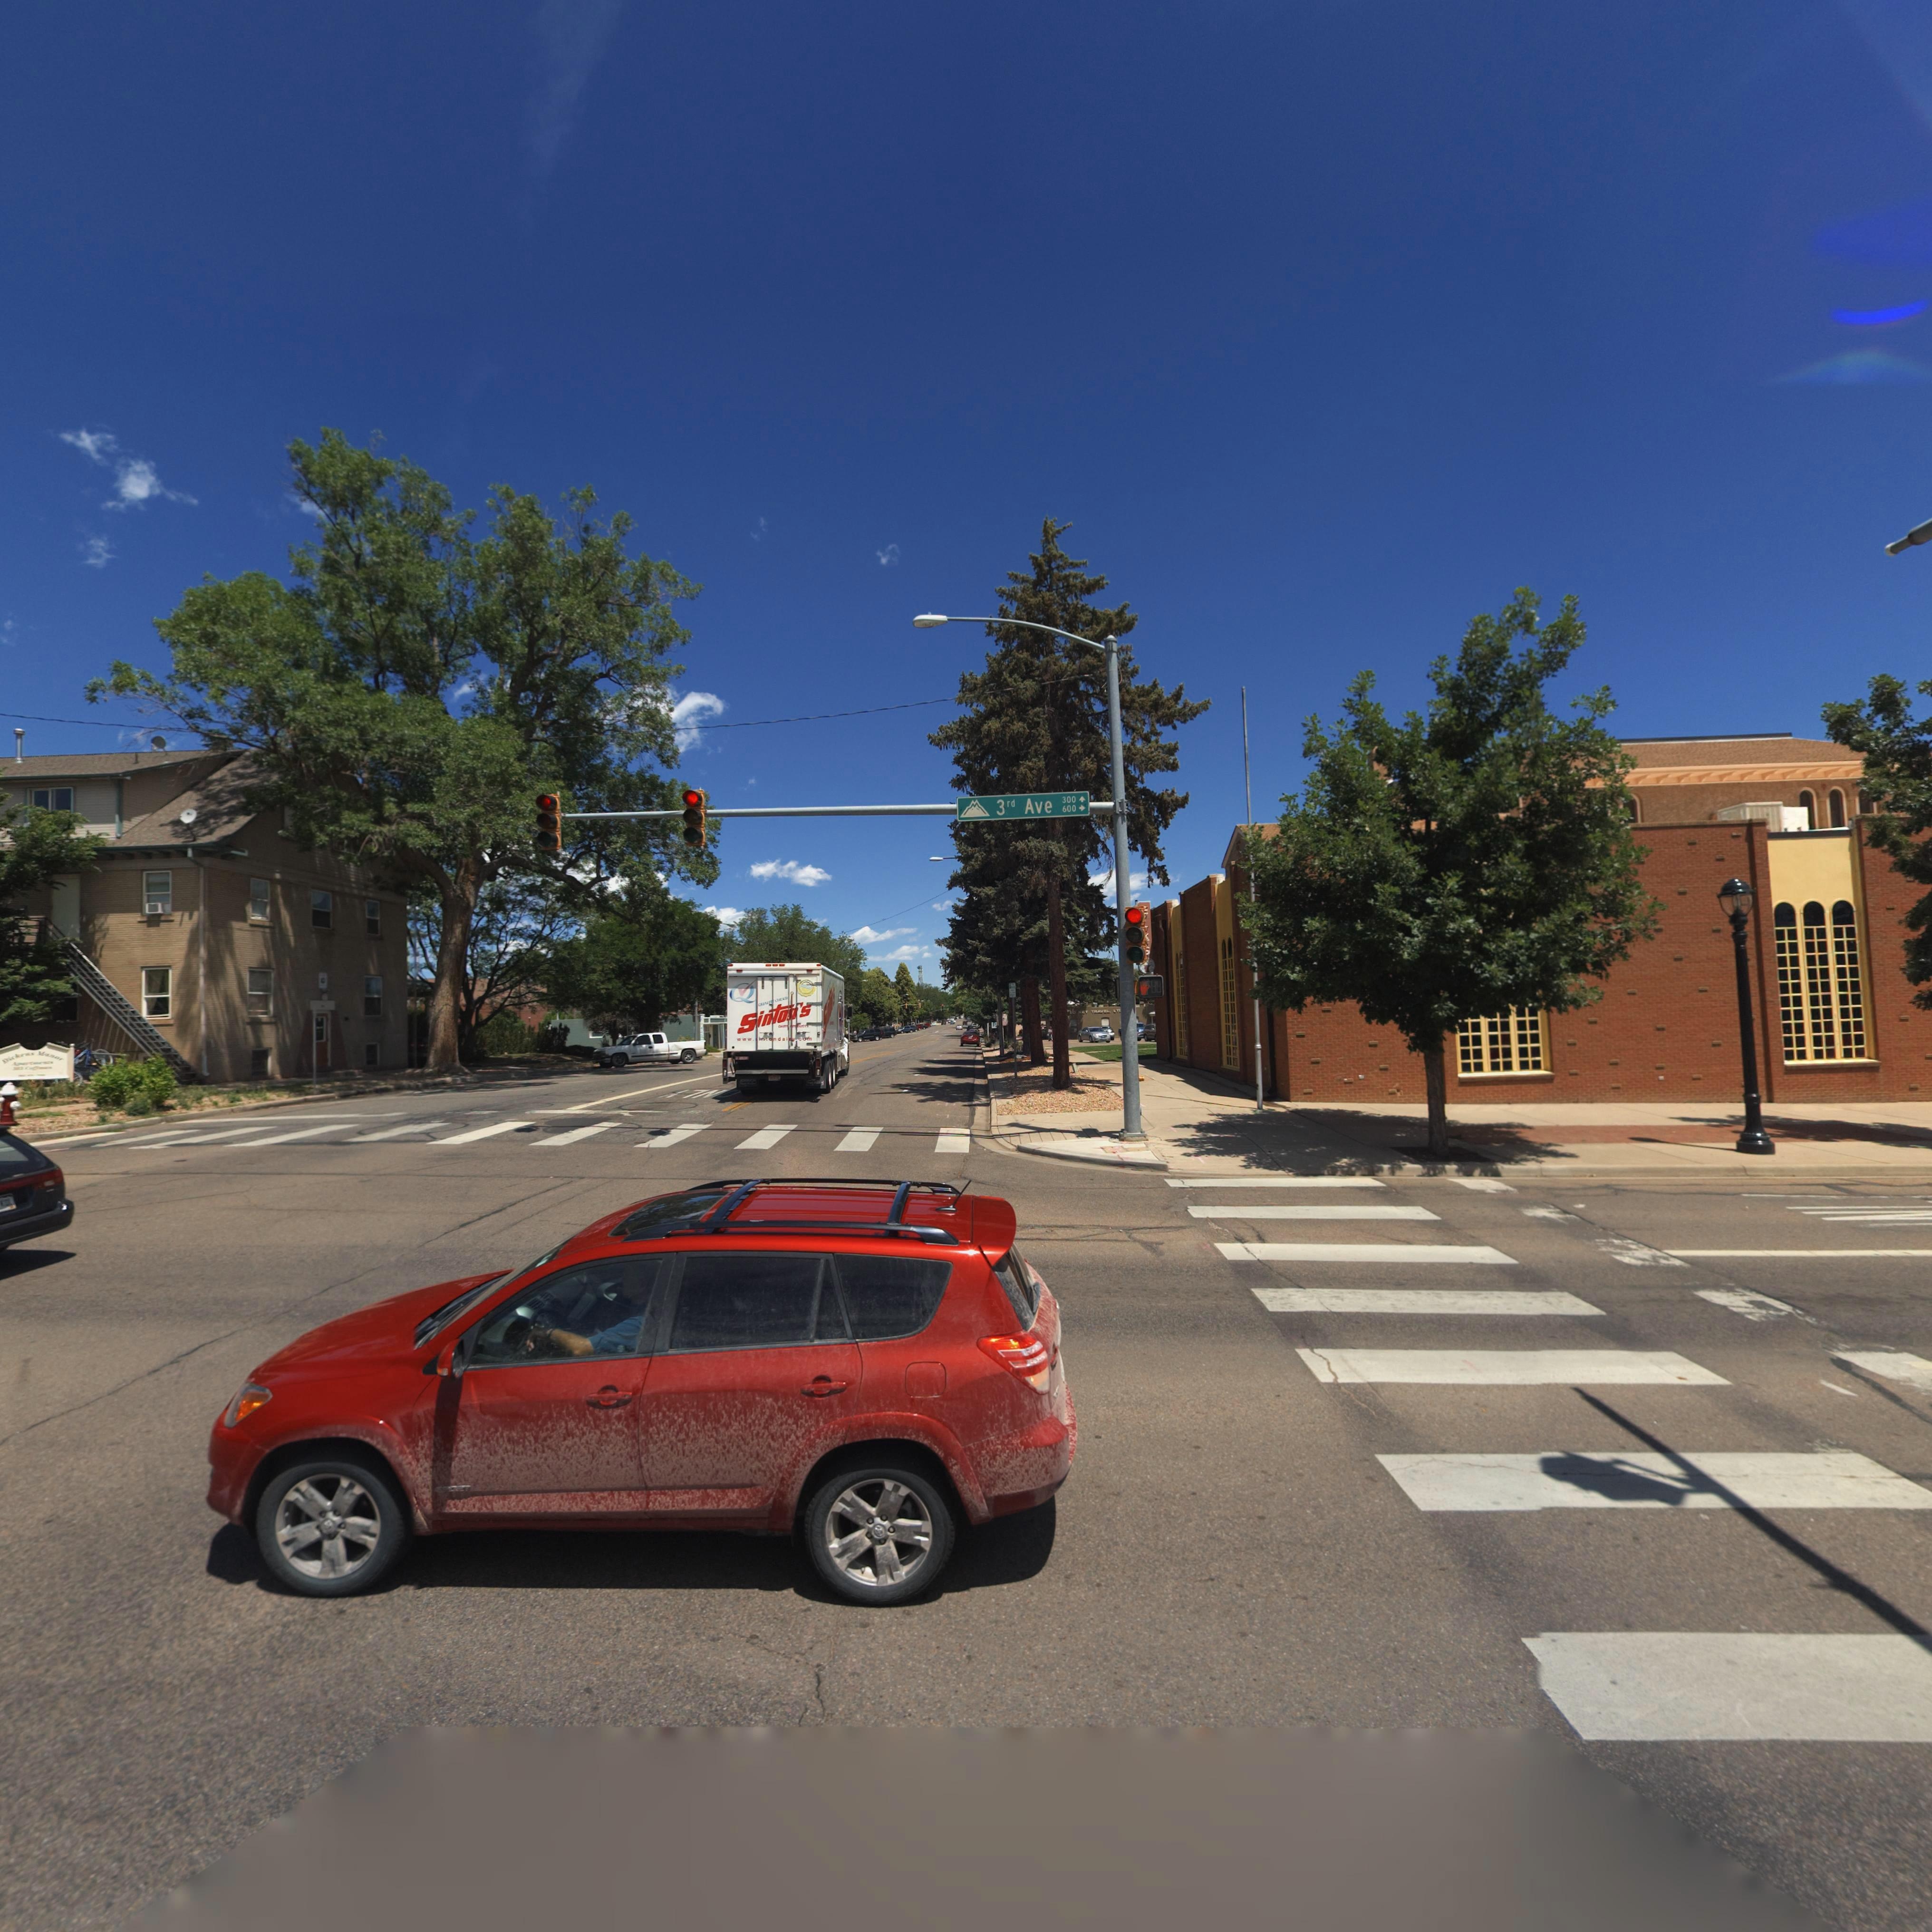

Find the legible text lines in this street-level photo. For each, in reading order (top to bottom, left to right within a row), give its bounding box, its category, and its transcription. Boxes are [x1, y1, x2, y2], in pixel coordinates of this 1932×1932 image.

[1062, 795, 1076, 803] StreetNumberRange: 300
[995, 797, 1053, 816] StreetName: 3rd Ave
[1062, 804, 1086, 813] StreetNumberRange: 600->